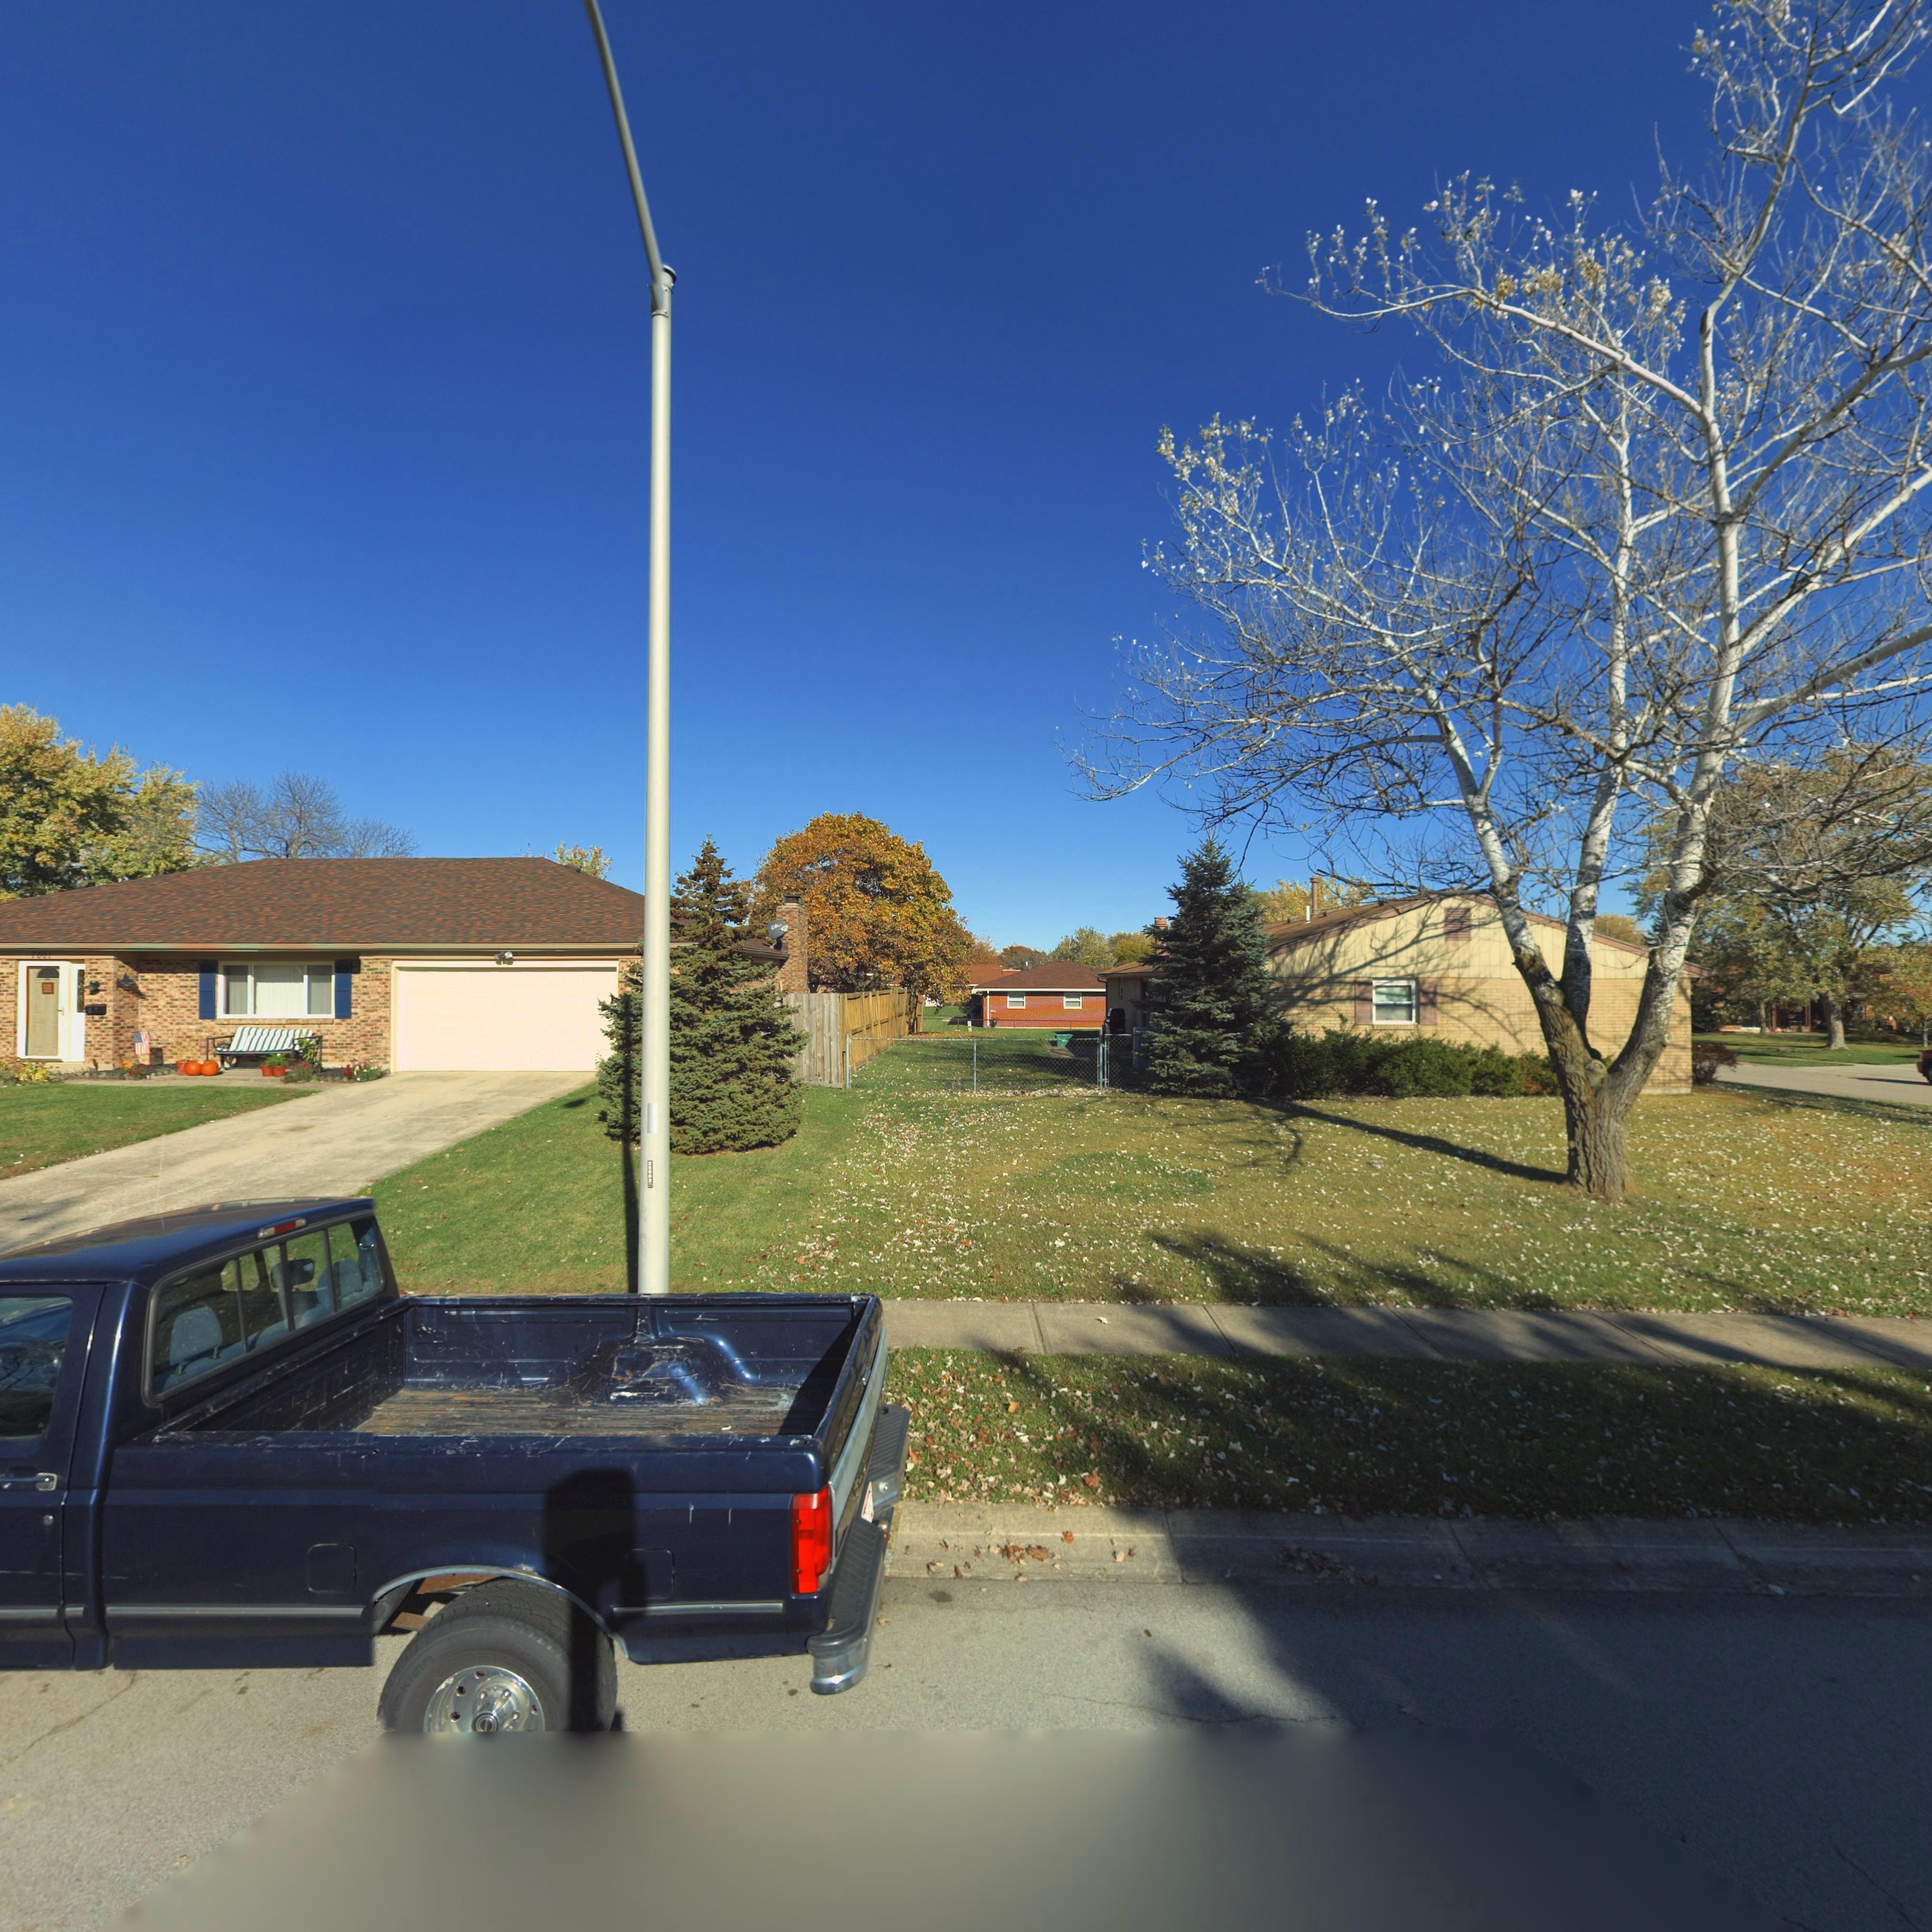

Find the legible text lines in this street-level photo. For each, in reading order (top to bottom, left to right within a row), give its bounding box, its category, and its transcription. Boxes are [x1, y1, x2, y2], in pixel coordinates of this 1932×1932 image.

[31, 951, 52, 959] StreetNumber: 7001